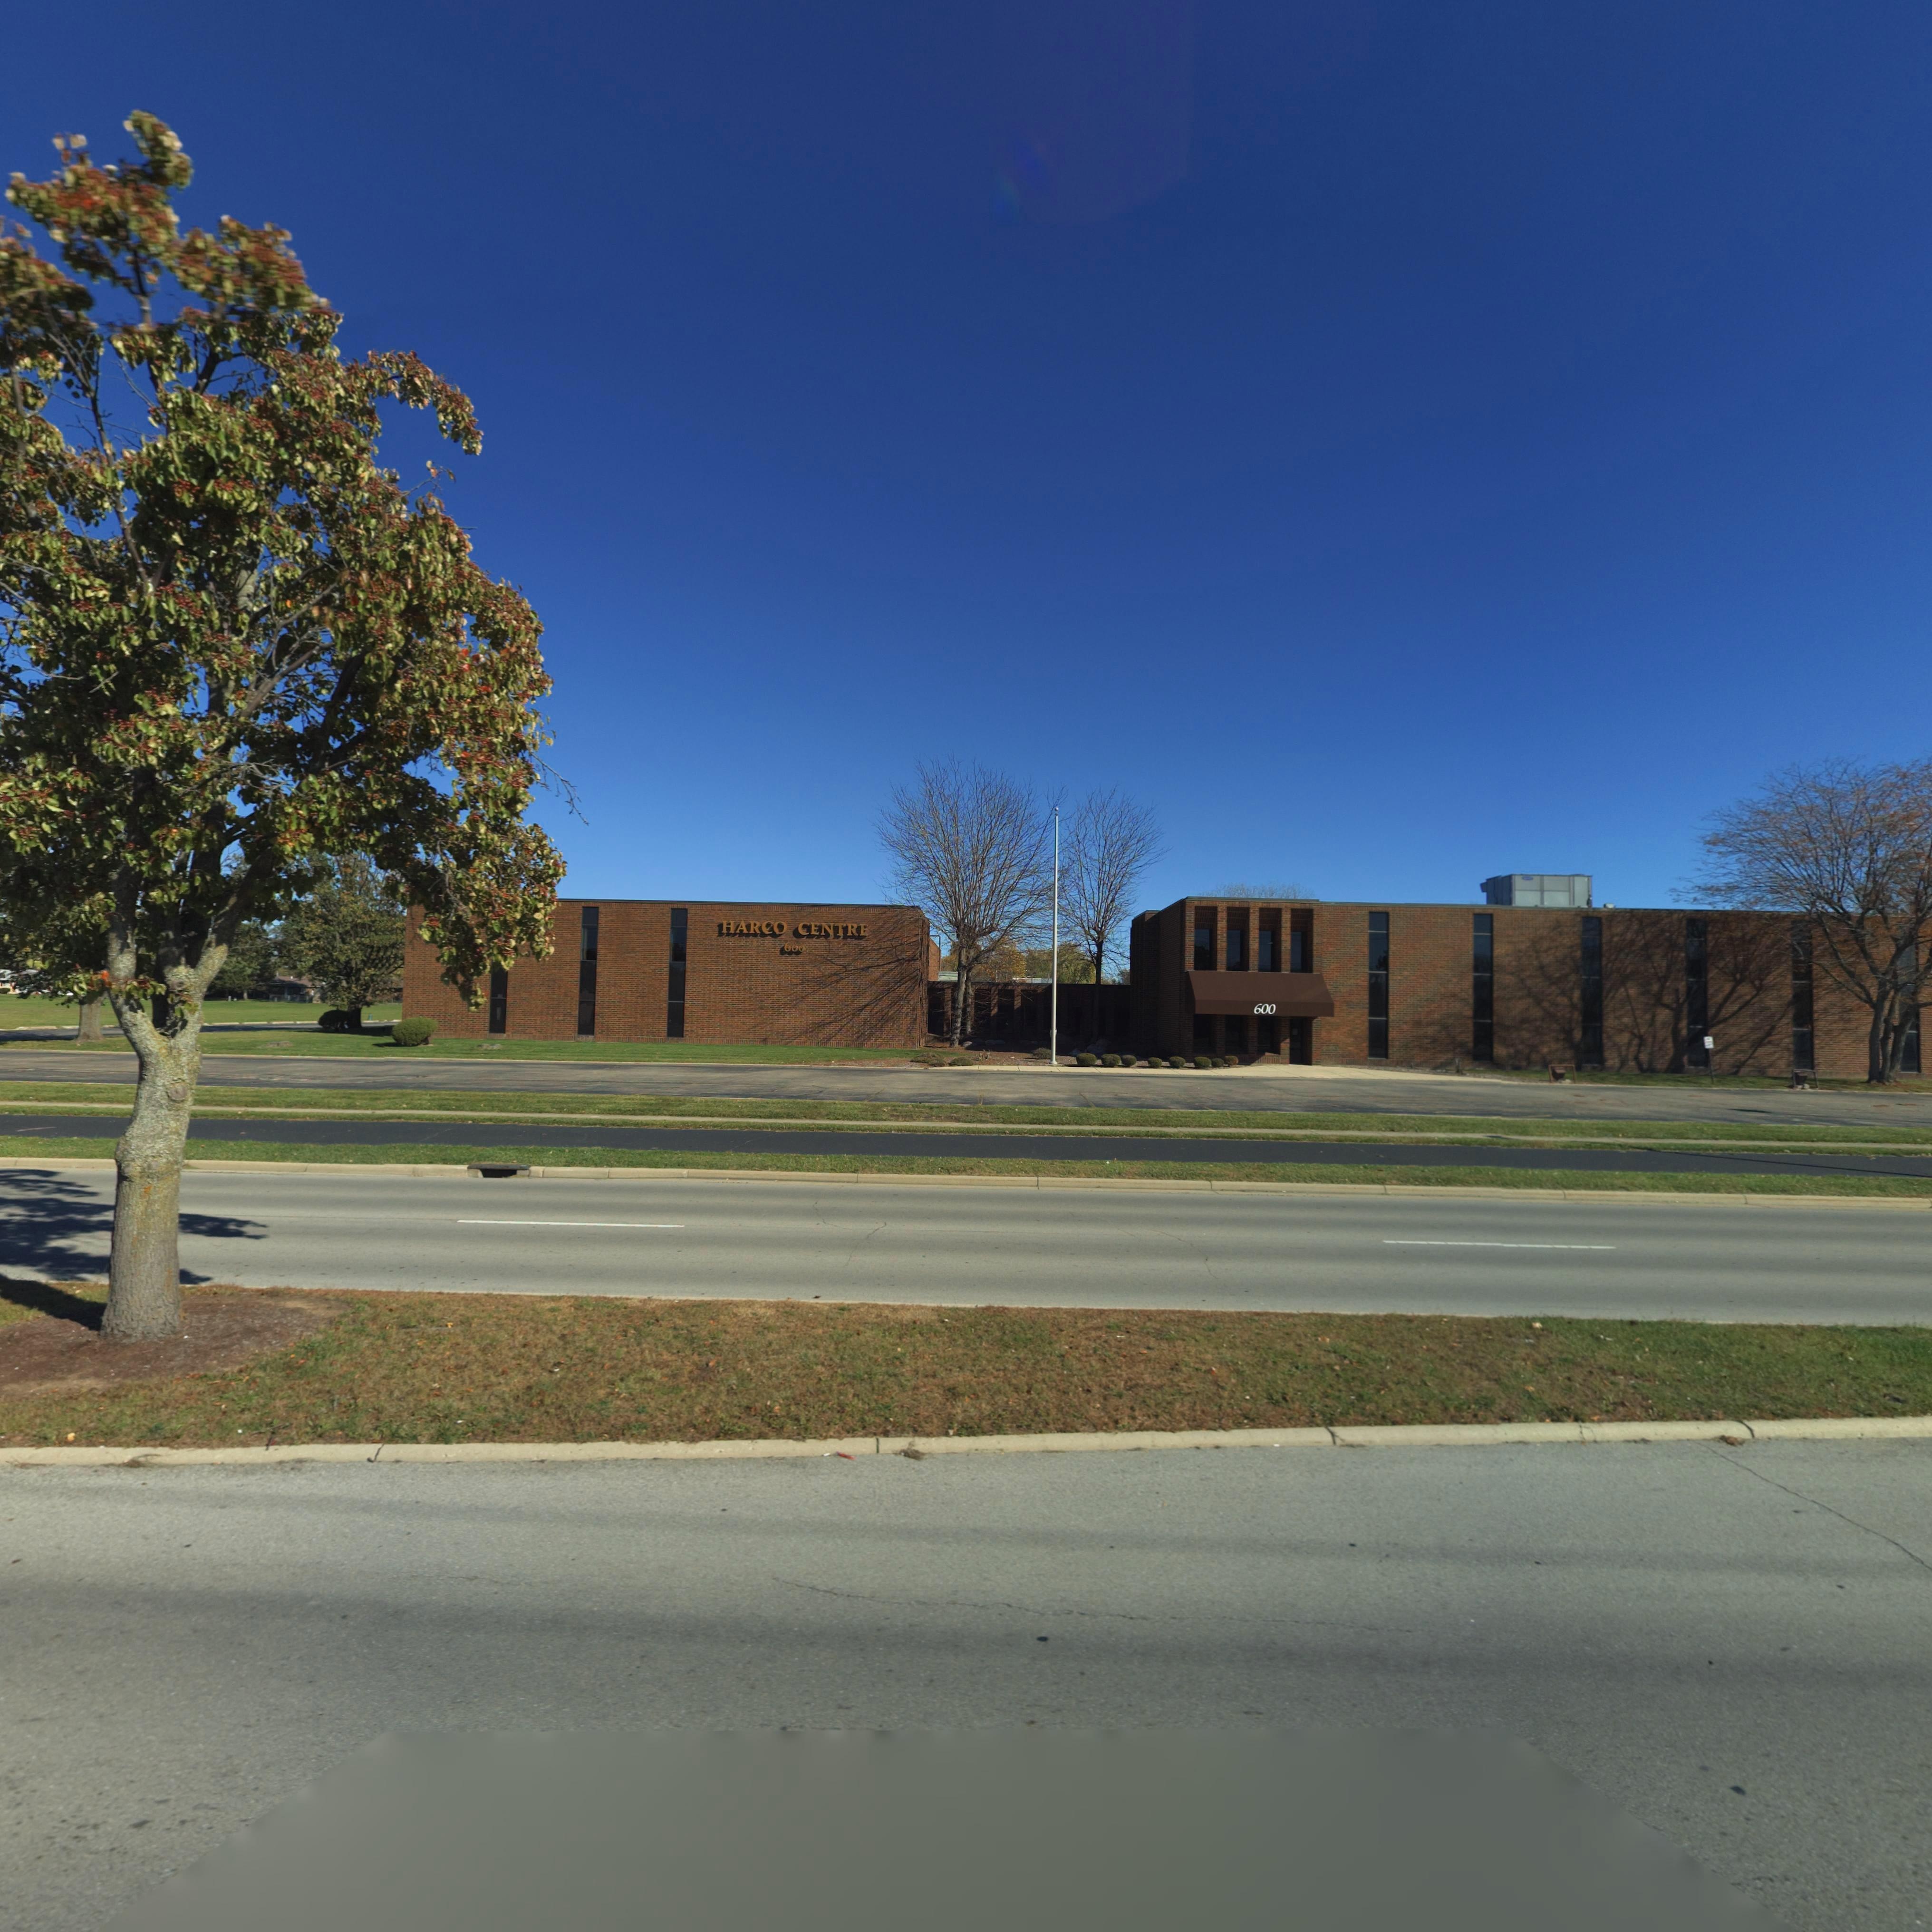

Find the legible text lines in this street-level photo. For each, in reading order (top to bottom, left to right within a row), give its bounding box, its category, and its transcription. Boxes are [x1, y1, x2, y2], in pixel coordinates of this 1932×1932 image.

[720, 920, 869, 937] BusinessName: HARCO CENTRE
[782, 940, 806, 953] StreetNumber: 600
[1253, 1002, 1277, 1015] StreetNumber: 600